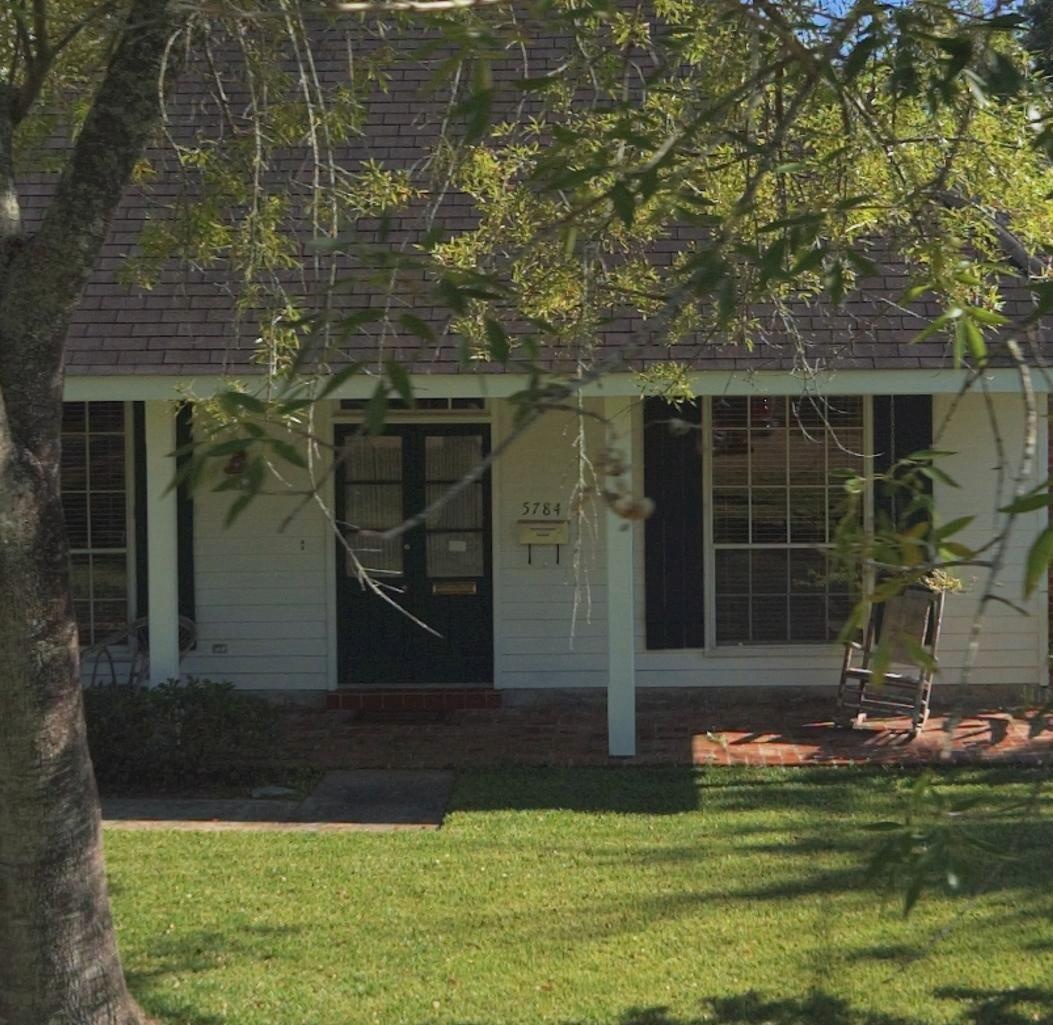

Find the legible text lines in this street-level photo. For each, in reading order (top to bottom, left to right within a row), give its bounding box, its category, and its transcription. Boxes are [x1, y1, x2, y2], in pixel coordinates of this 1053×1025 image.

[521, 500, 562, 517] StreetNumber: 5784